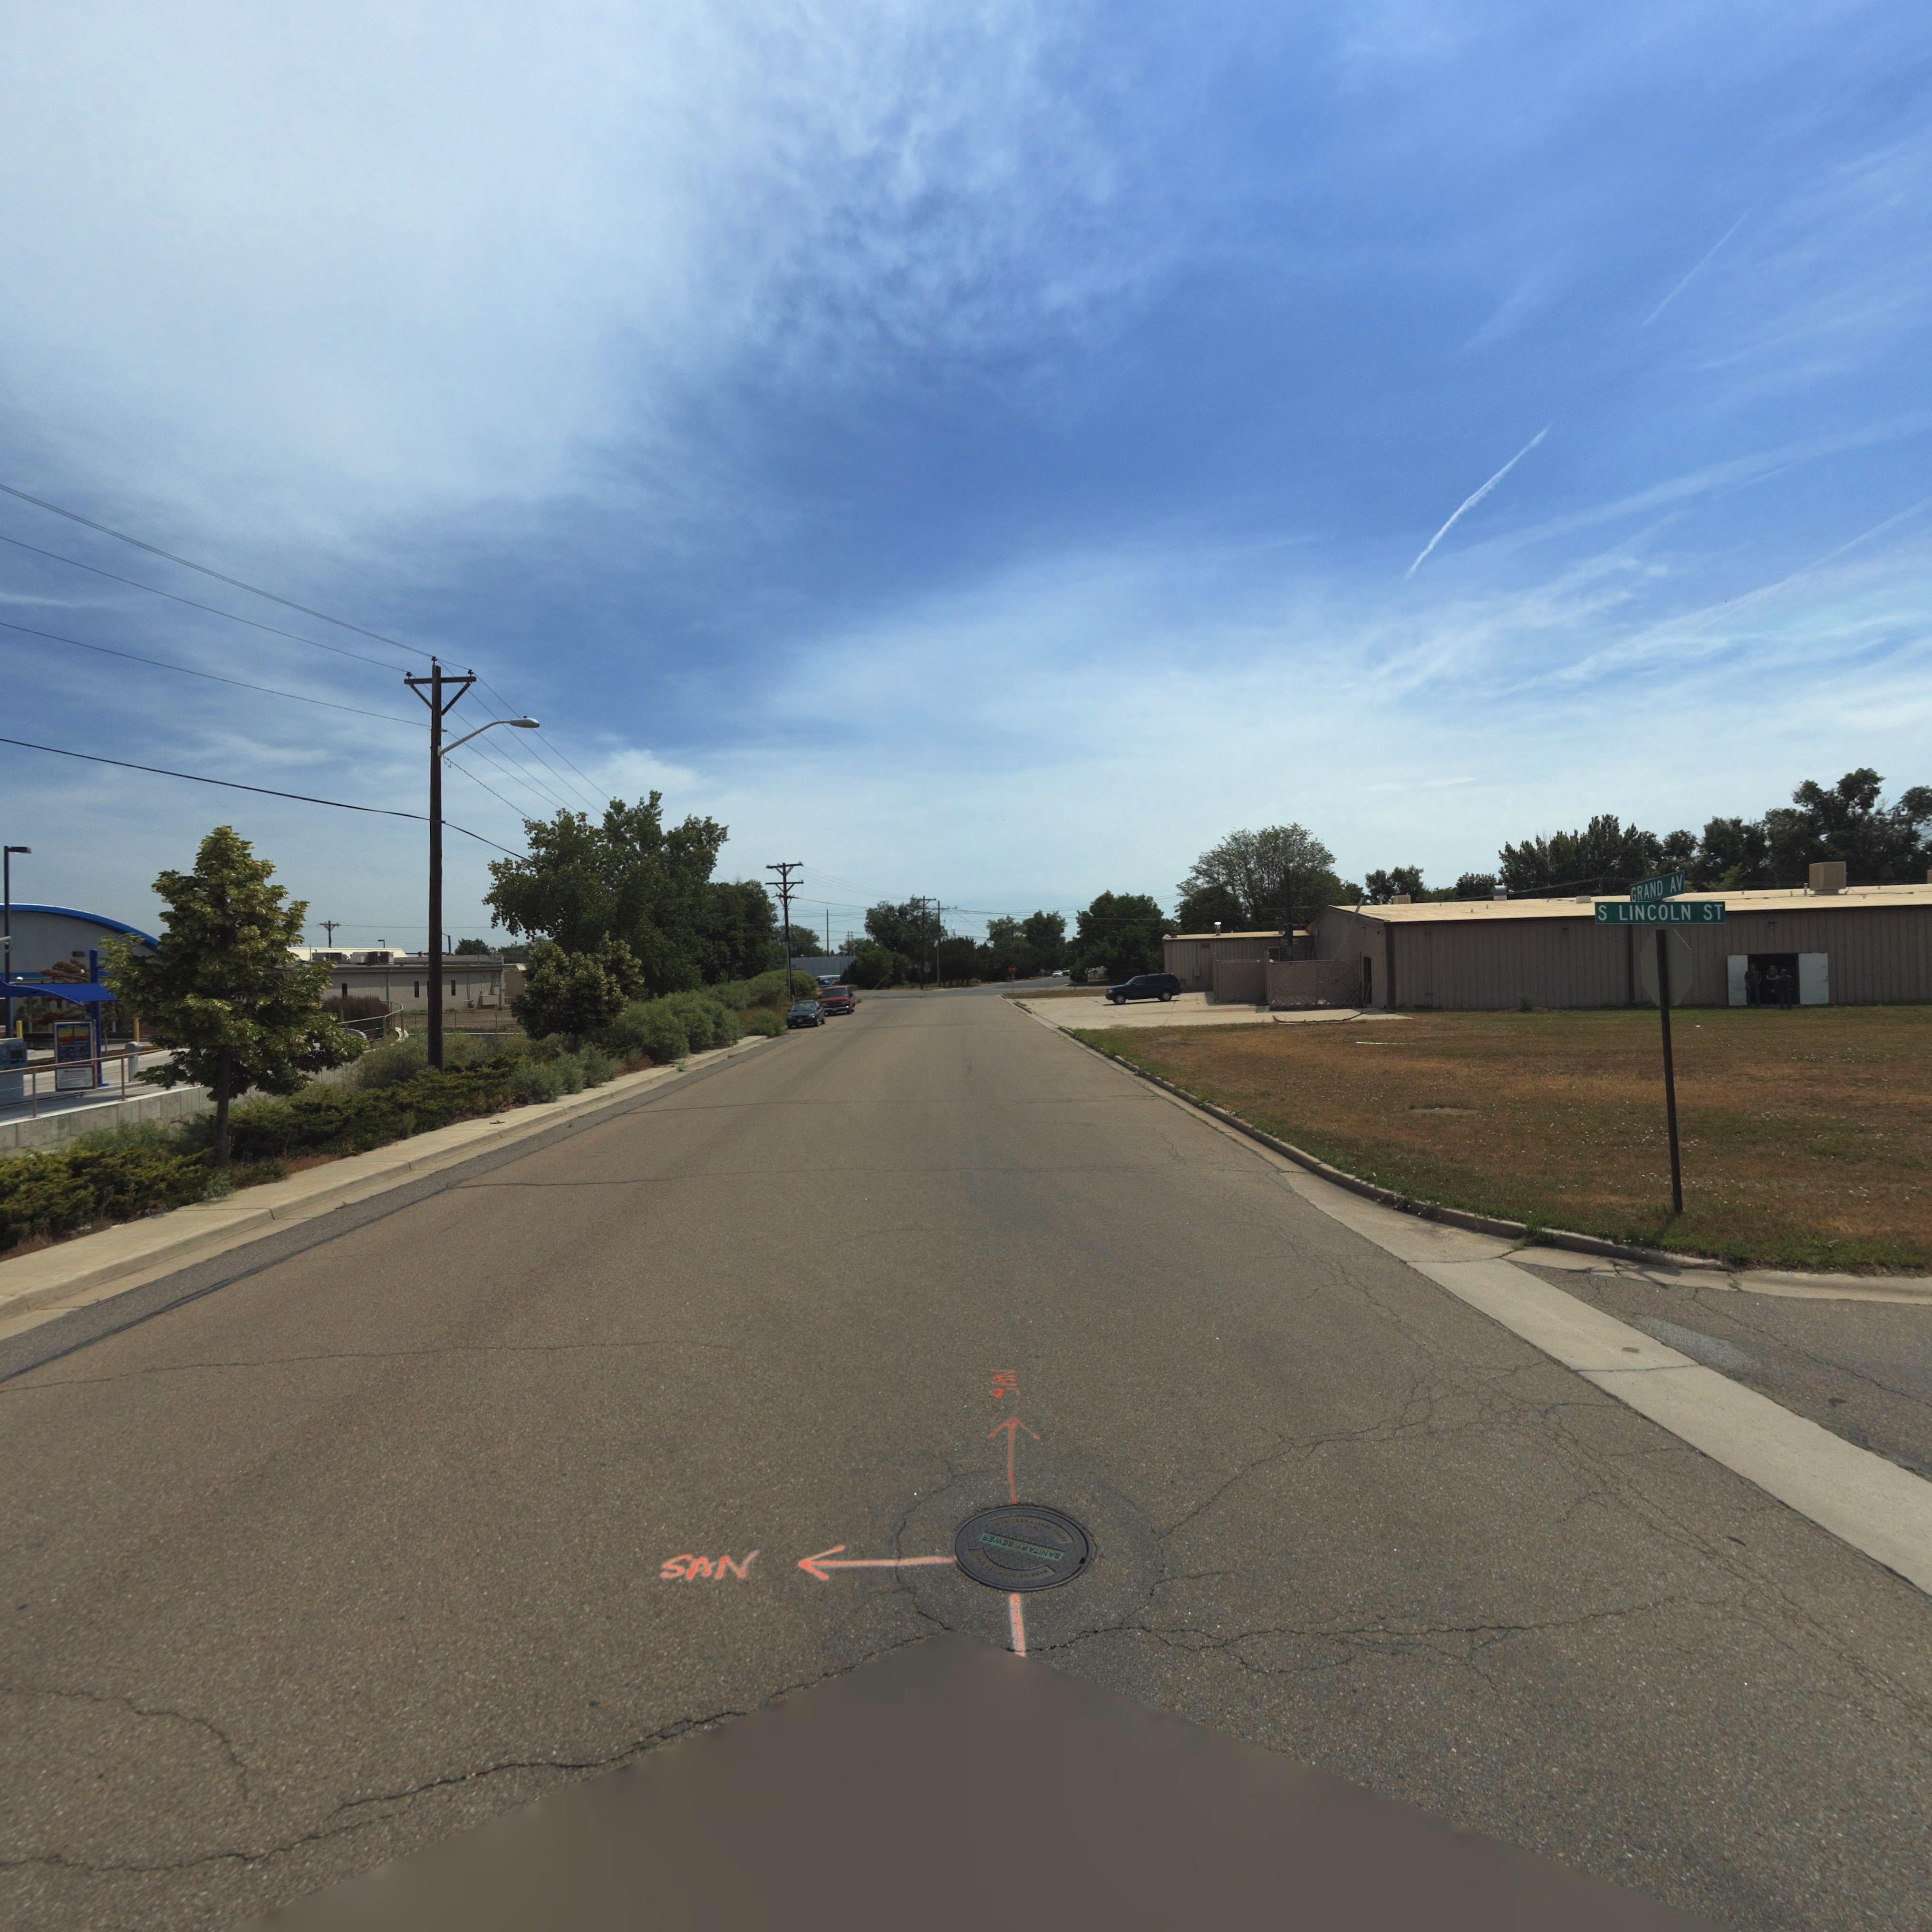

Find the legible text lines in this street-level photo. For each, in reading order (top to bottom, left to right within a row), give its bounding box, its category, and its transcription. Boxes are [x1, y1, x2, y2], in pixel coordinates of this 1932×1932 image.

[1630, 873, 1683, 902] StreetName: GRAND AV
[1597, 904, 1723, 921] StreetName: S LINCOLN ST